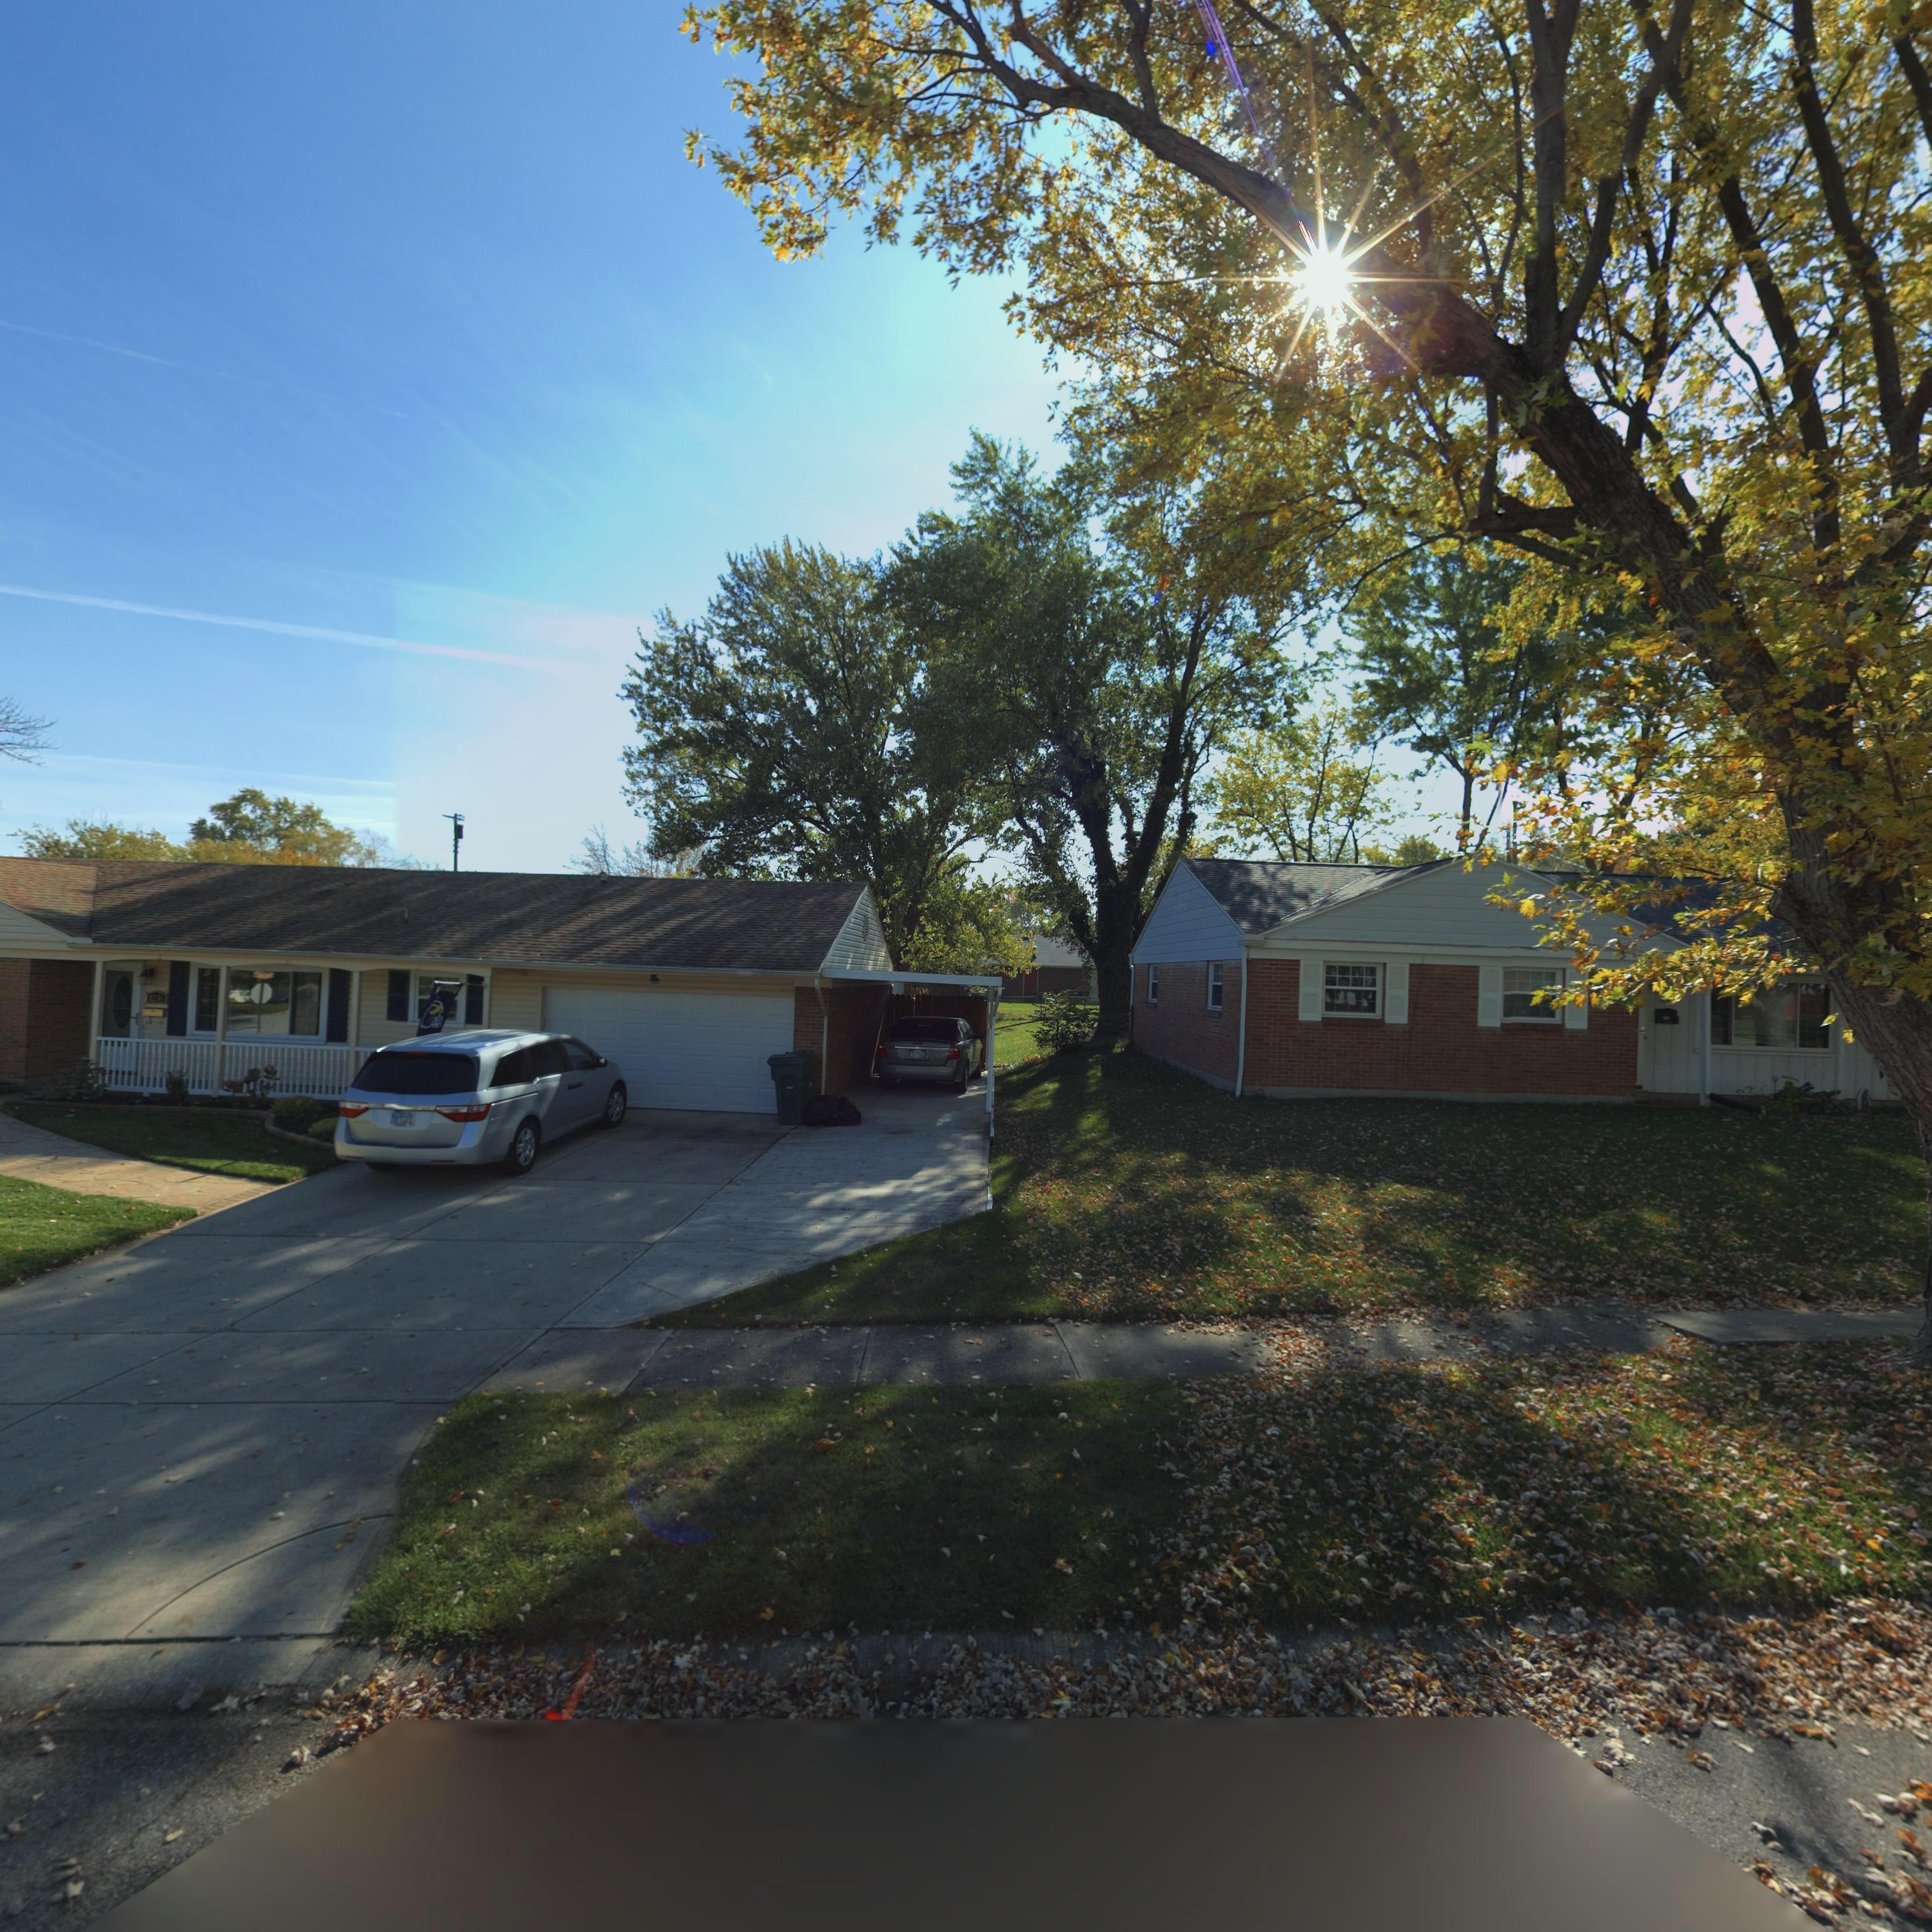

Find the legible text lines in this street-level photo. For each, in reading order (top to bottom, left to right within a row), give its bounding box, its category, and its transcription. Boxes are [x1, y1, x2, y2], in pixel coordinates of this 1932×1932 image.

[148, 995, 165, 1002] StreetNumber: 1236
[390, 1116, 414, 1124] None: ERD 5327